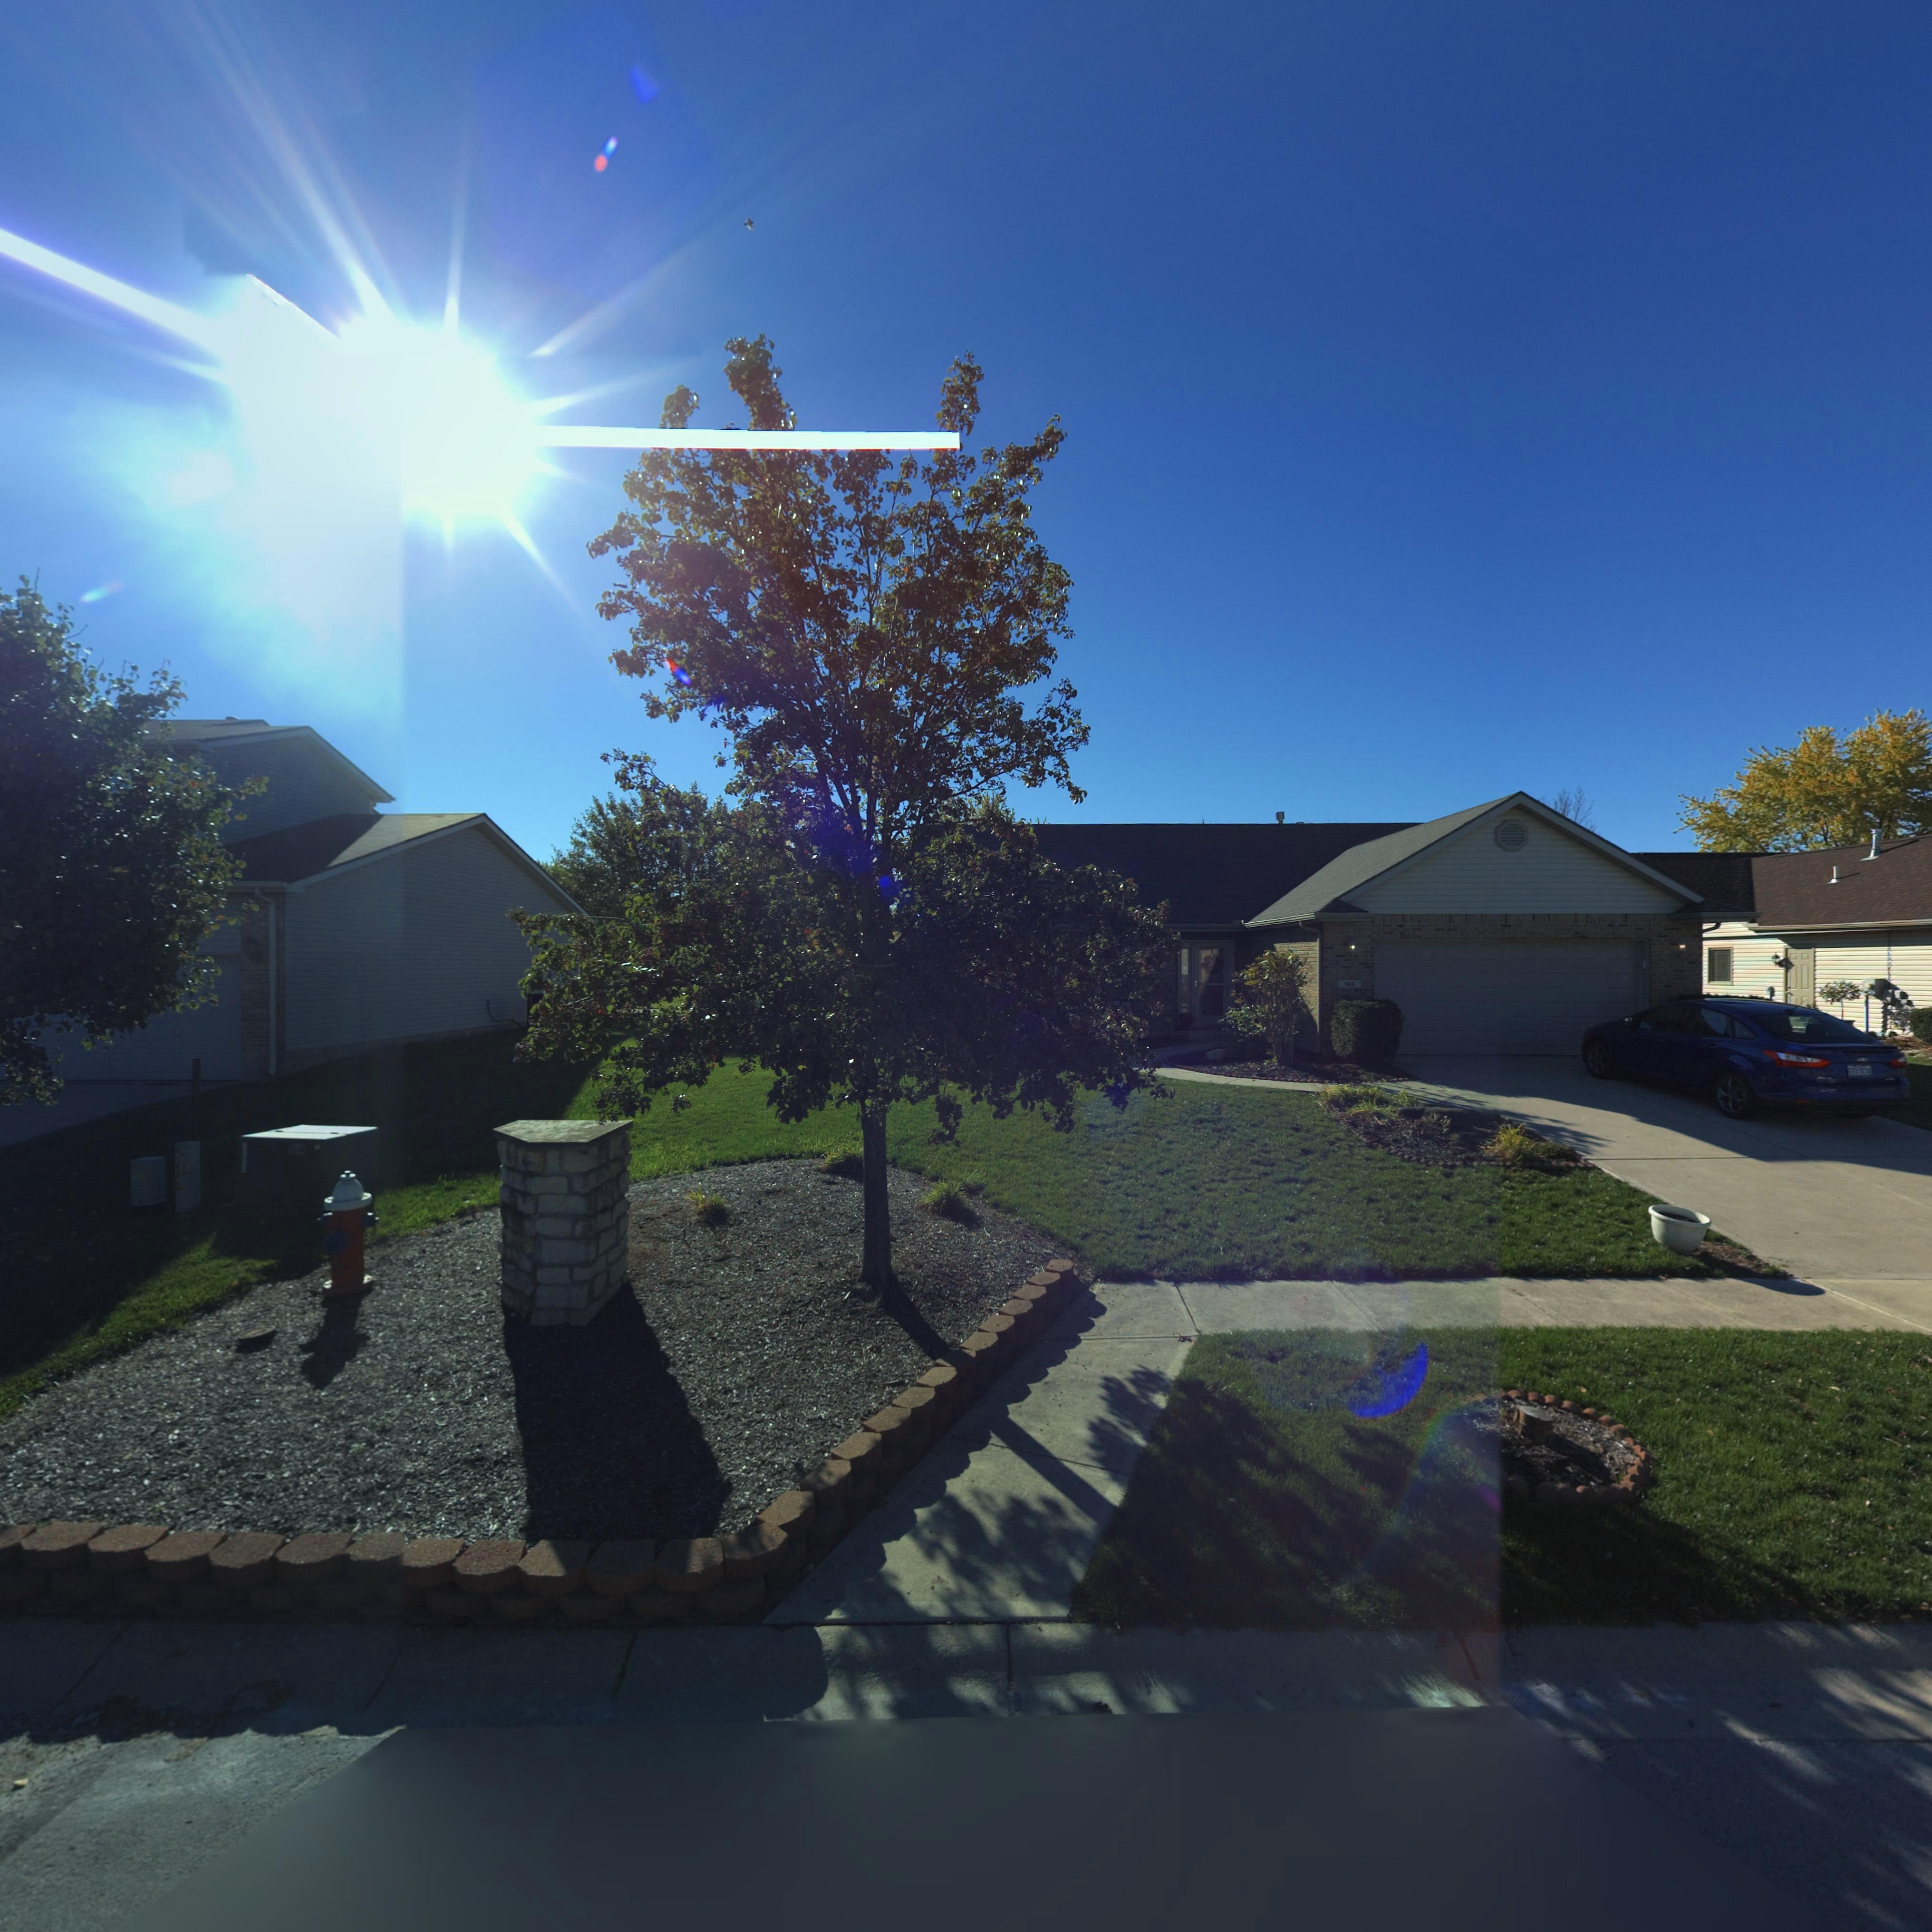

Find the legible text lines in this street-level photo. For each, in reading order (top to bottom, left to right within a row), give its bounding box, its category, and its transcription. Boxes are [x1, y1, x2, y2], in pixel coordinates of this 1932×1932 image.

[1343, 981, 1355, 986] StreetNumber: 143